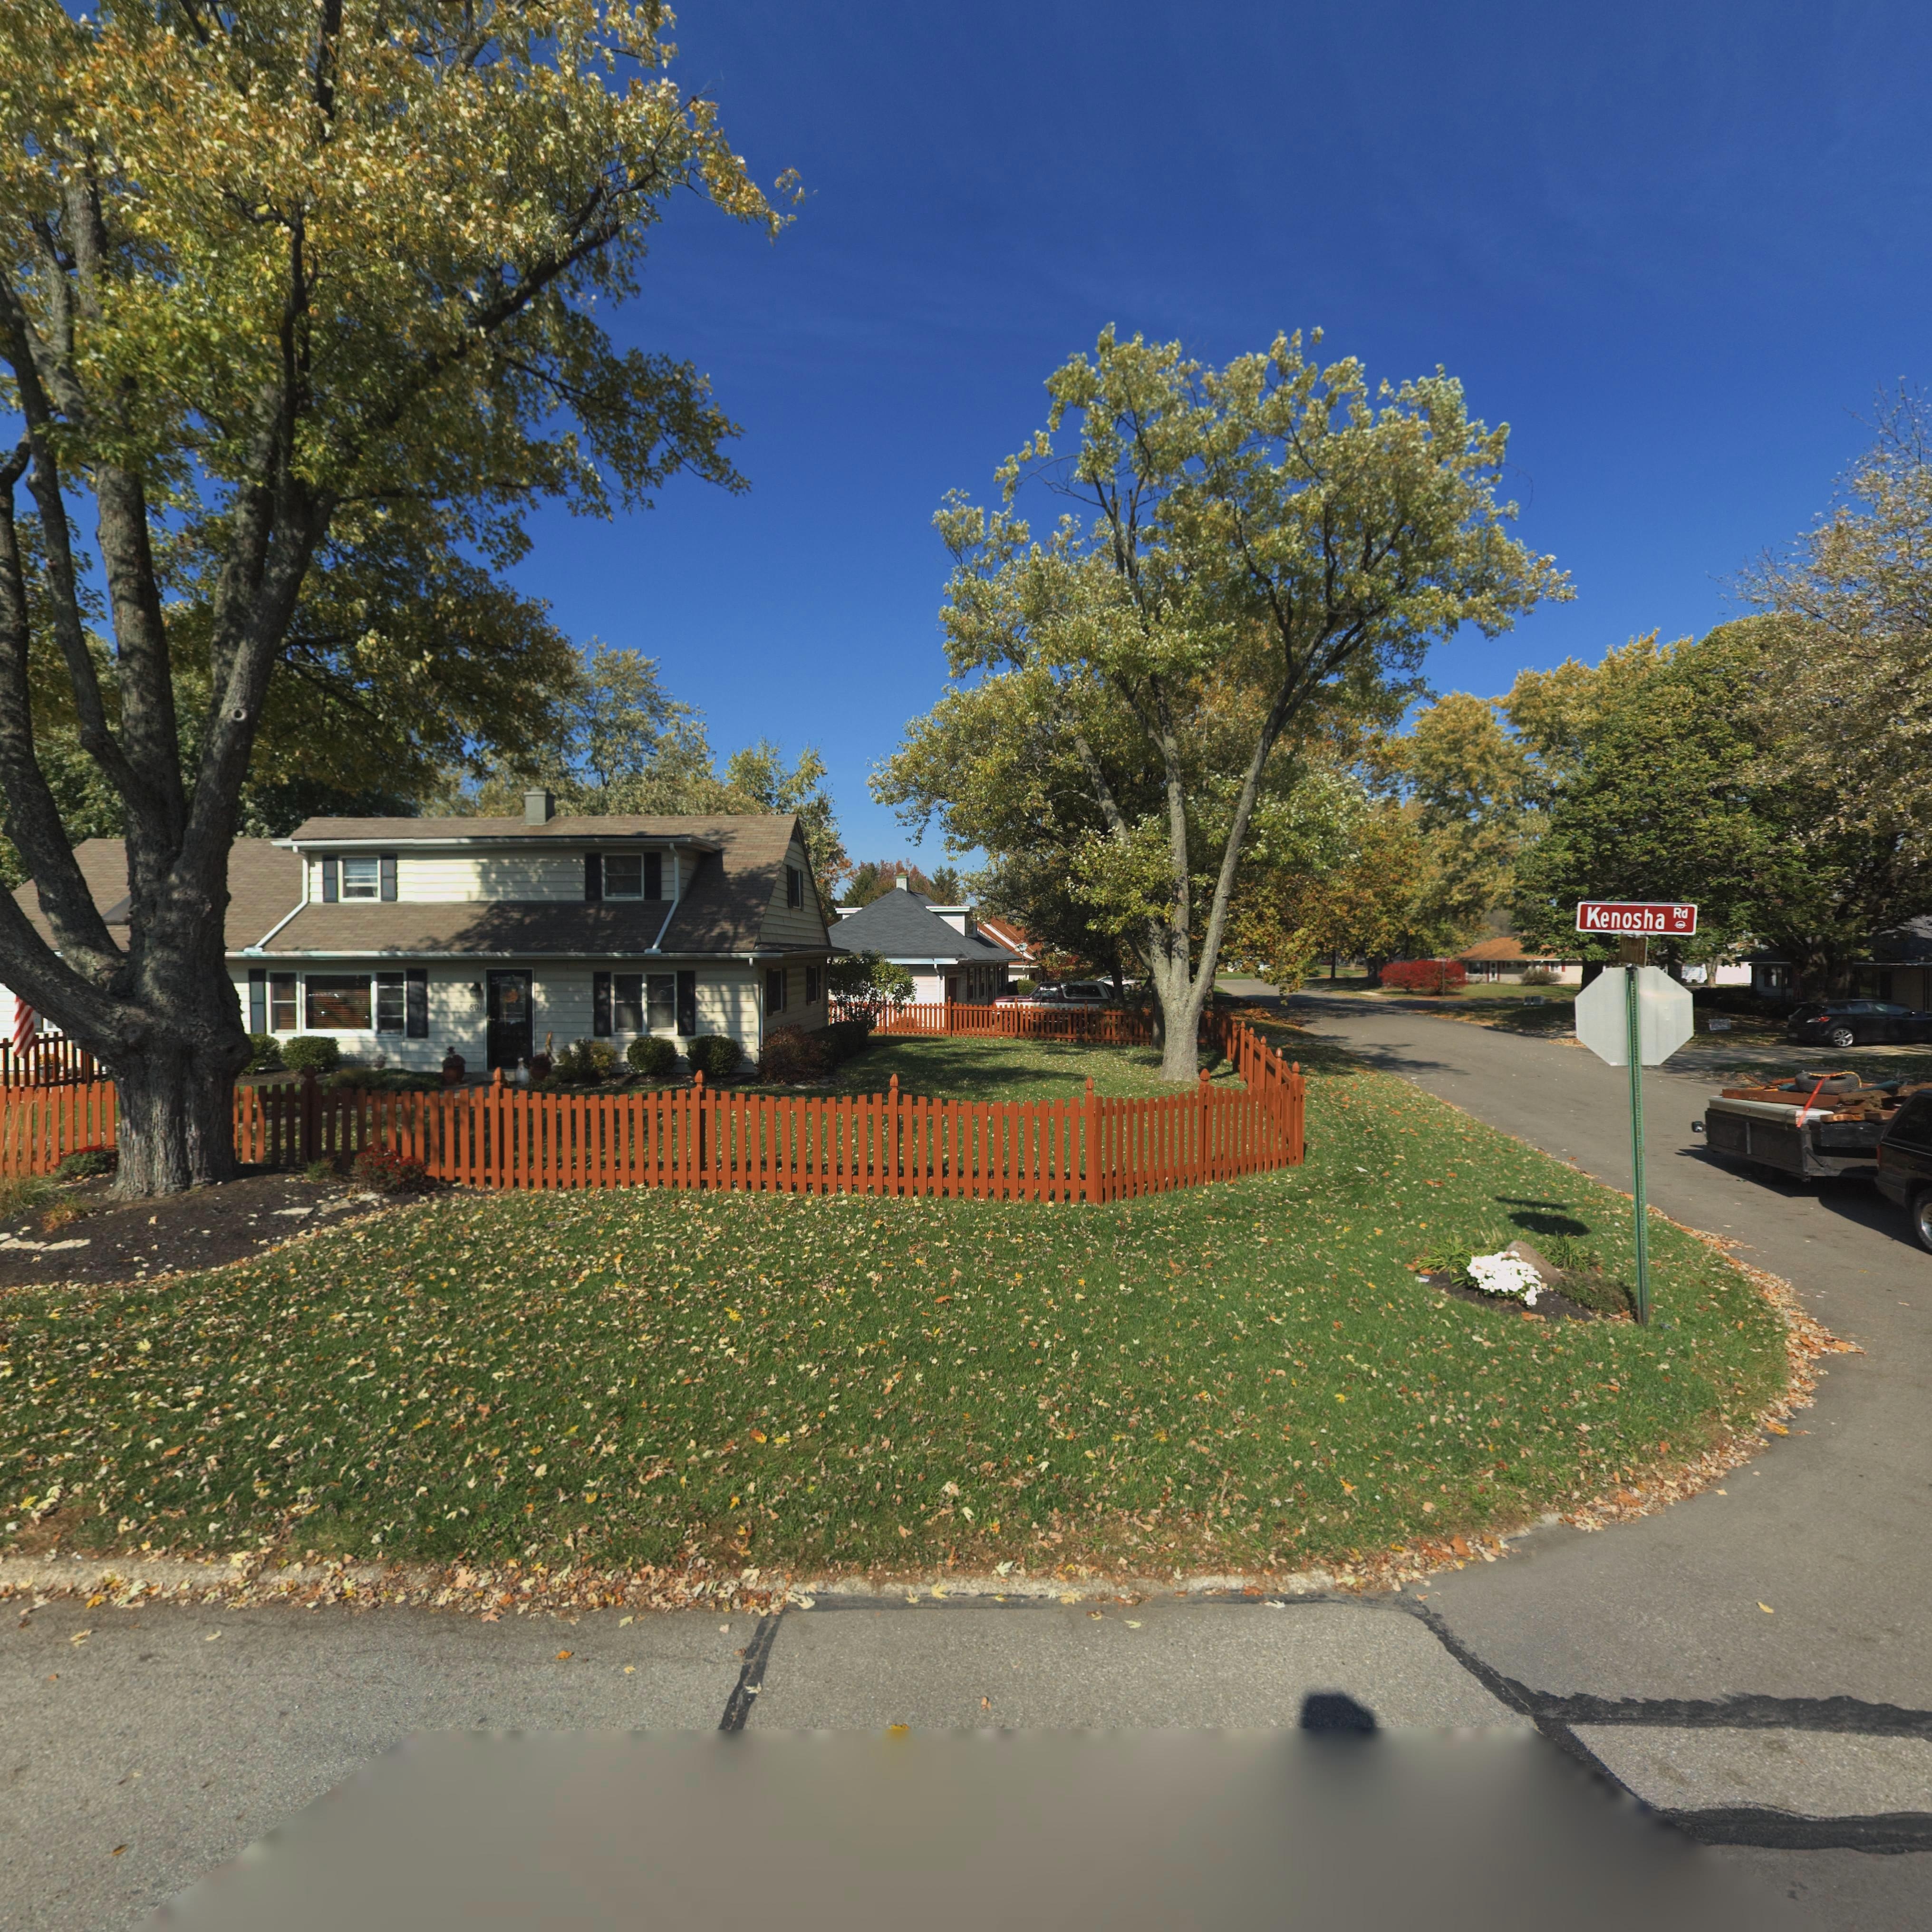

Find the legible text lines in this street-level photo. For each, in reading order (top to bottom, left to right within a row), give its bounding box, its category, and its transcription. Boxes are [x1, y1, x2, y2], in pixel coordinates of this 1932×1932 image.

[1585, 904, 1690, 931] StreetName: Kenosha Rd
[468, 1003, 483, 1012] StreetNumber: 801